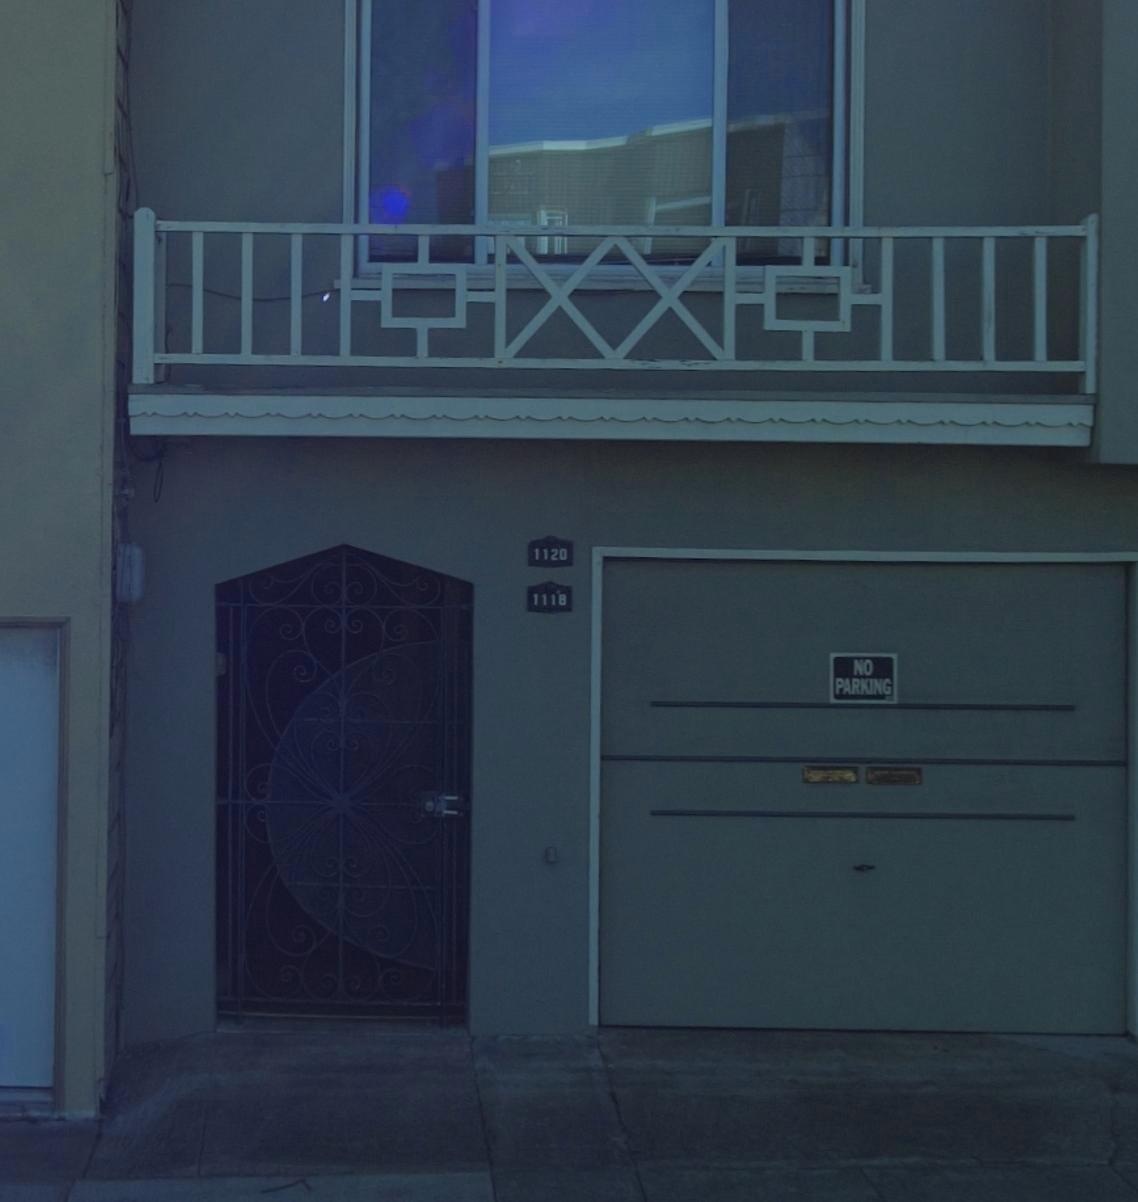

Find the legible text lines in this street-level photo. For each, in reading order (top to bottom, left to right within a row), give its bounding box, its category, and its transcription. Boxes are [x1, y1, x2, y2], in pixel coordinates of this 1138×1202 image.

[533, 547, 569, 562] StreetNumber: 1120
[530, 592, 568, 607] StreetNumber: 1118
[851, 657, 874, 676] None: NO
[834, 676, 892, 697] None: PARKING